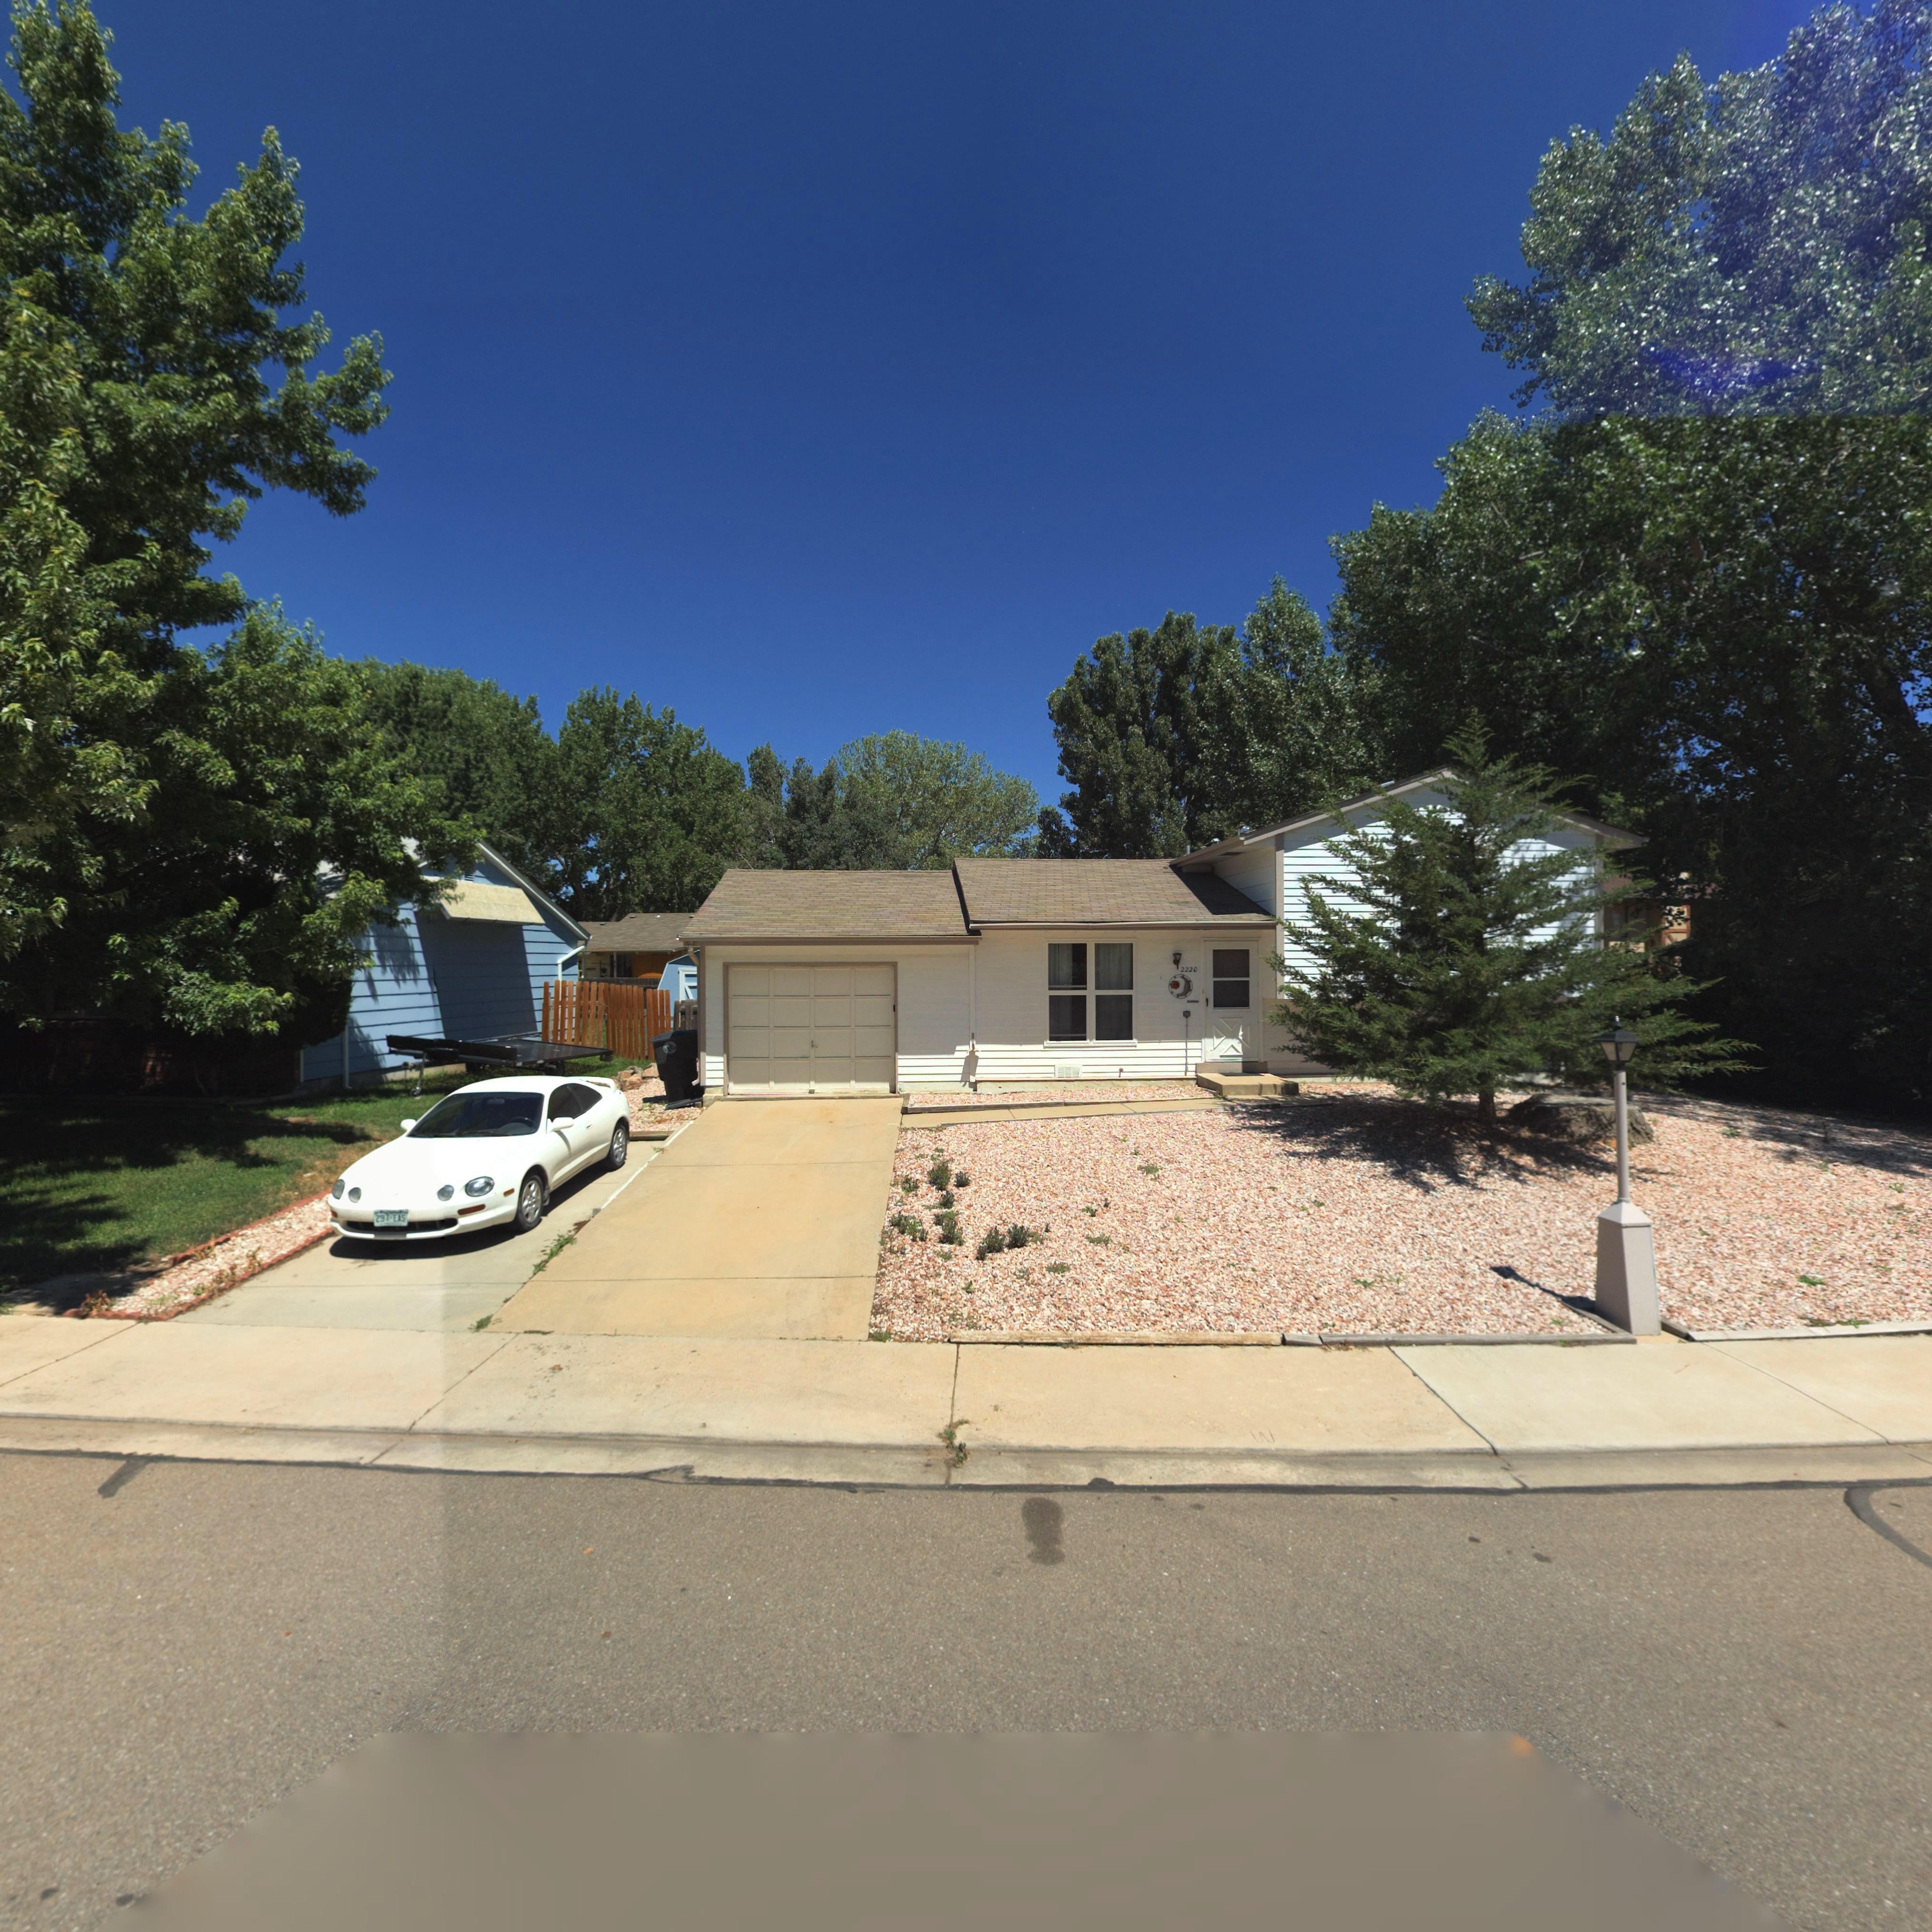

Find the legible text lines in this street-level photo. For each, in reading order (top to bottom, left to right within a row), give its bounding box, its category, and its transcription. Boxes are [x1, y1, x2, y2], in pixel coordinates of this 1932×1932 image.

[1180, 966, 1197, 972] StreetNumber: 2220